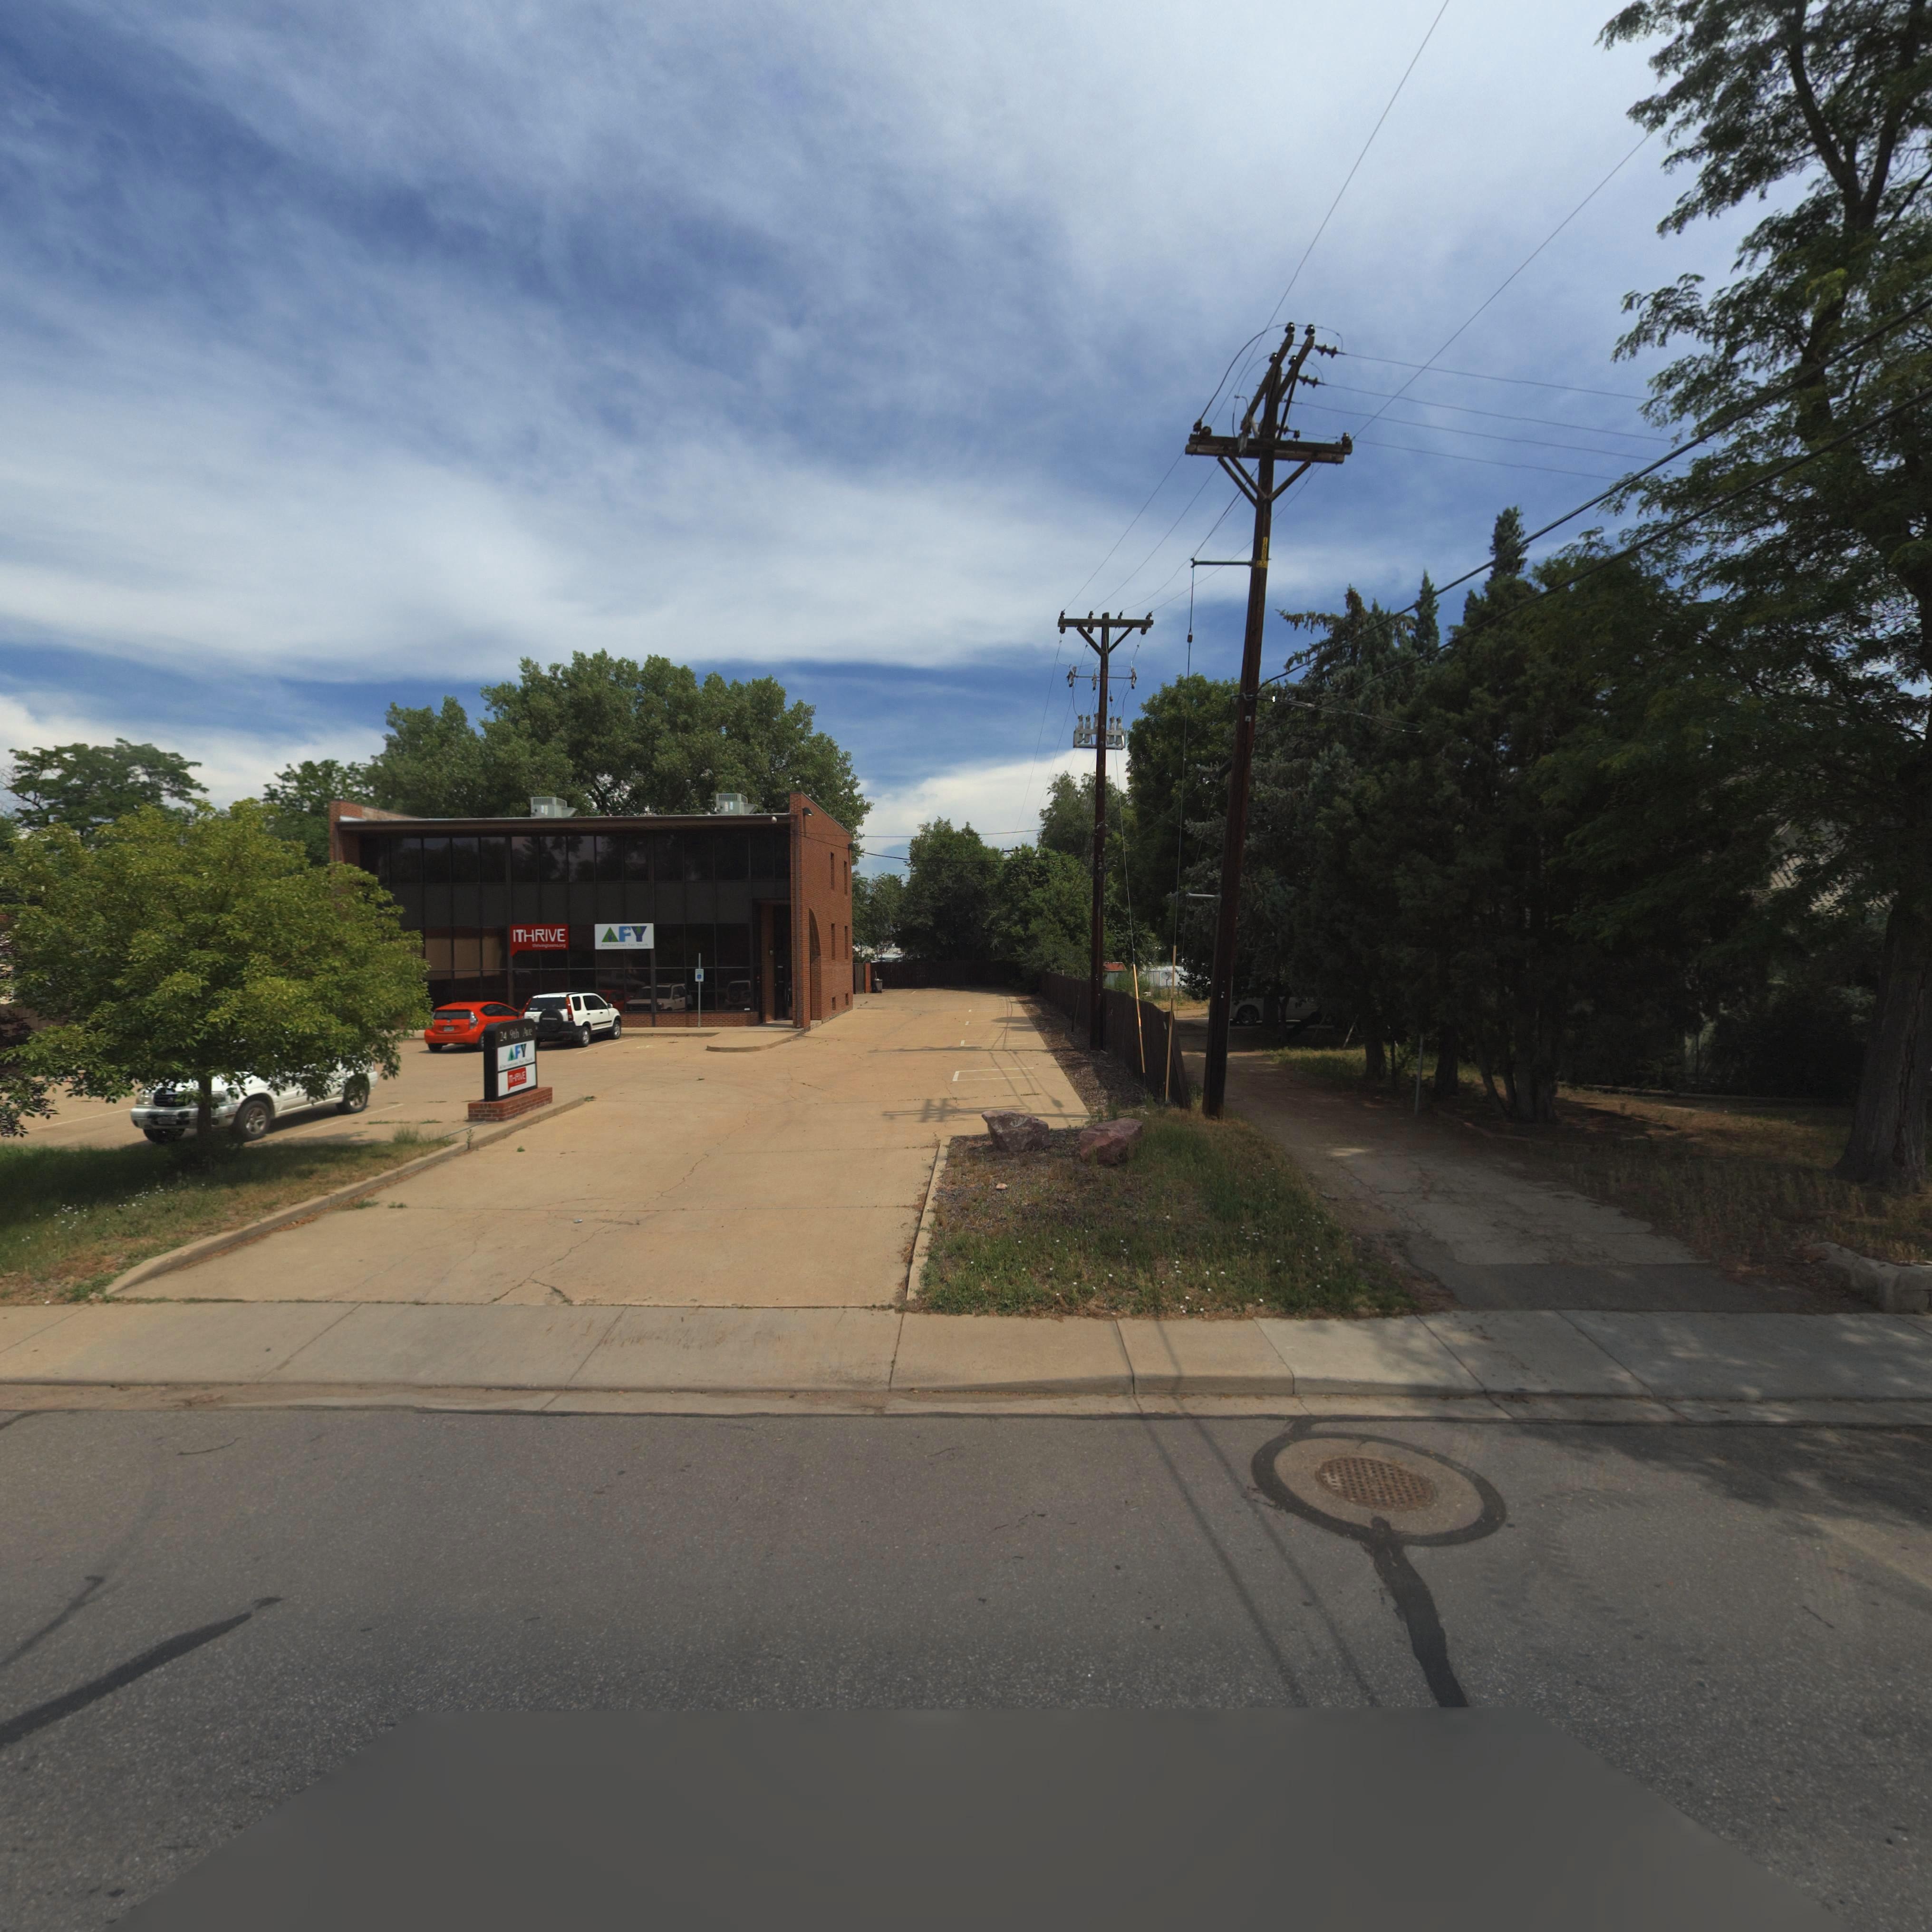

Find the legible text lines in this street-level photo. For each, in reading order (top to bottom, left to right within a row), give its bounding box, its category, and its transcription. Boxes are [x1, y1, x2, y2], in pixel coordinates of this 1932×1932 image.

[512, 927, 566, 943] BusinessName: ITHRIVE
[600, 925, 647, 943] BusinessName: *FY
[499, 1031, 507, 1042] StreetNumber: 24
[509, 1026, 532, 1040] StreetName: 9th Ave
[506, 1042, 527, 1063] BusinessName: *FY
[508, 1070, 526, 1084] BusinessName: *TH***E